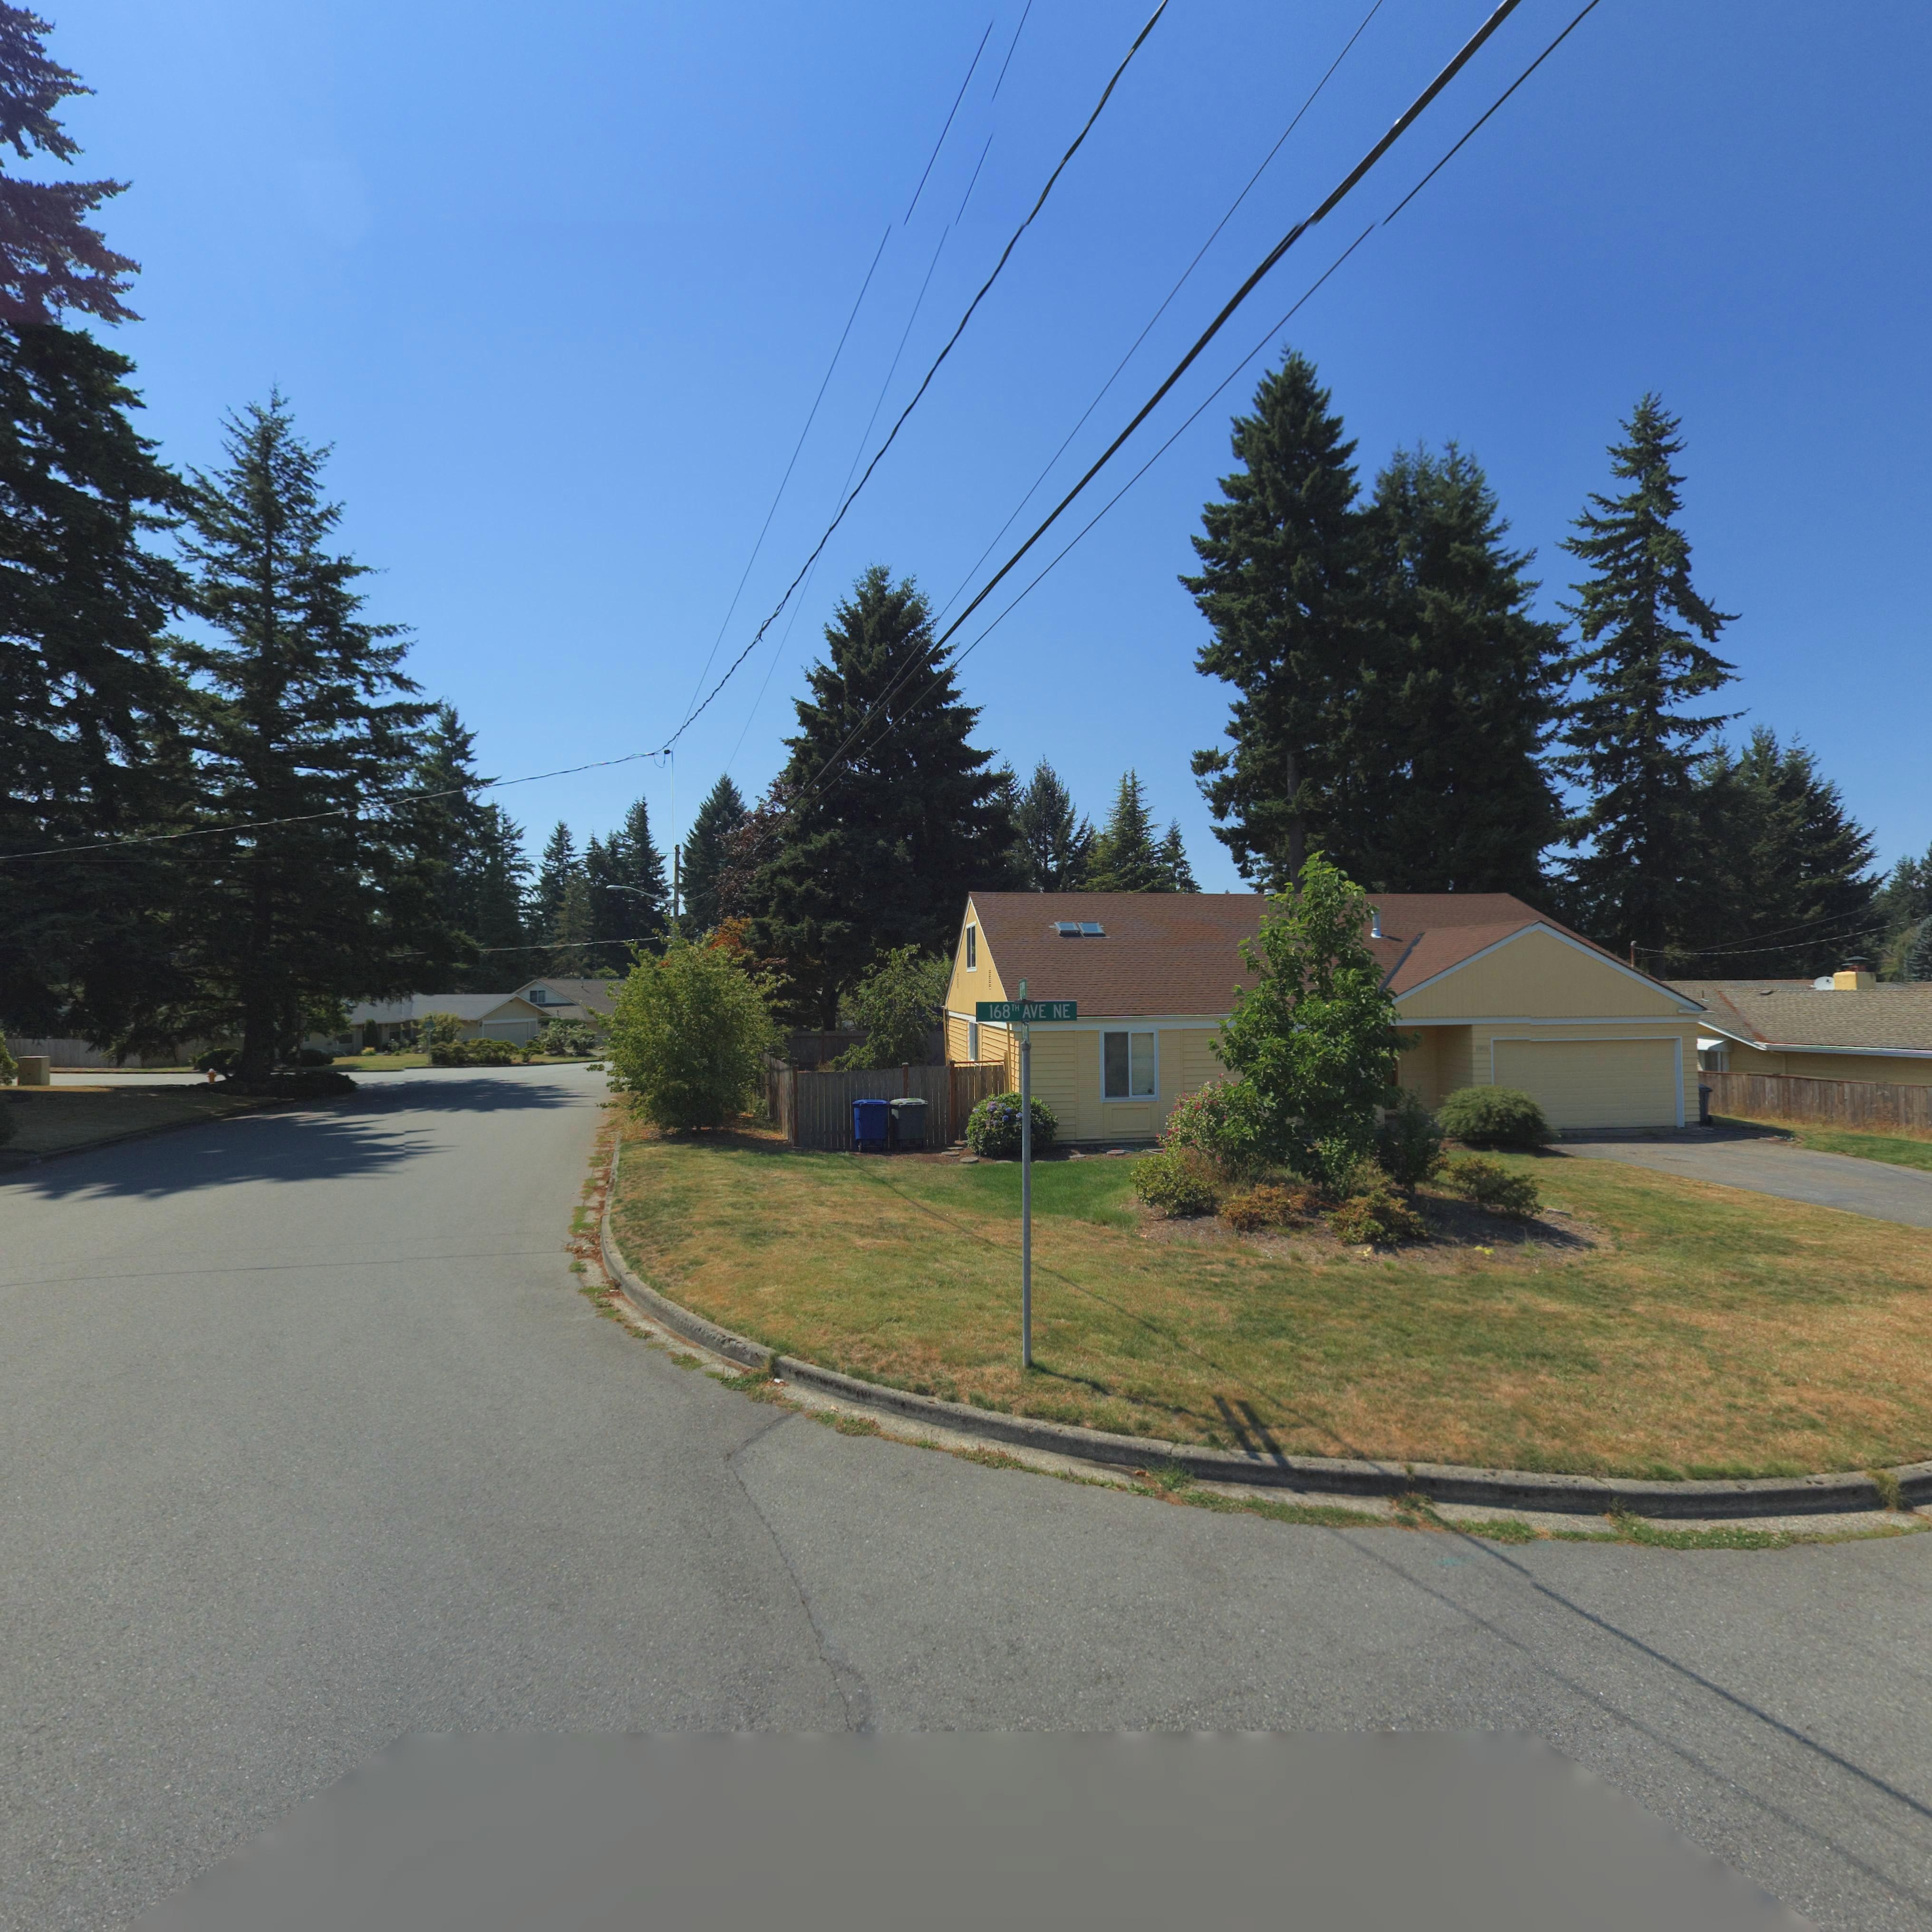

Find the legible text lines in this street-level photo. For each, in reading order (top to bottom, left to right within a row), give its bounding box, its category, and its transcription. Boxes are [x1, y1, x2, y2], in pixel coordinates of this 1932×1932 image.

[988, 1004, 1070, 1019] StreetName: 168TH AVE NE